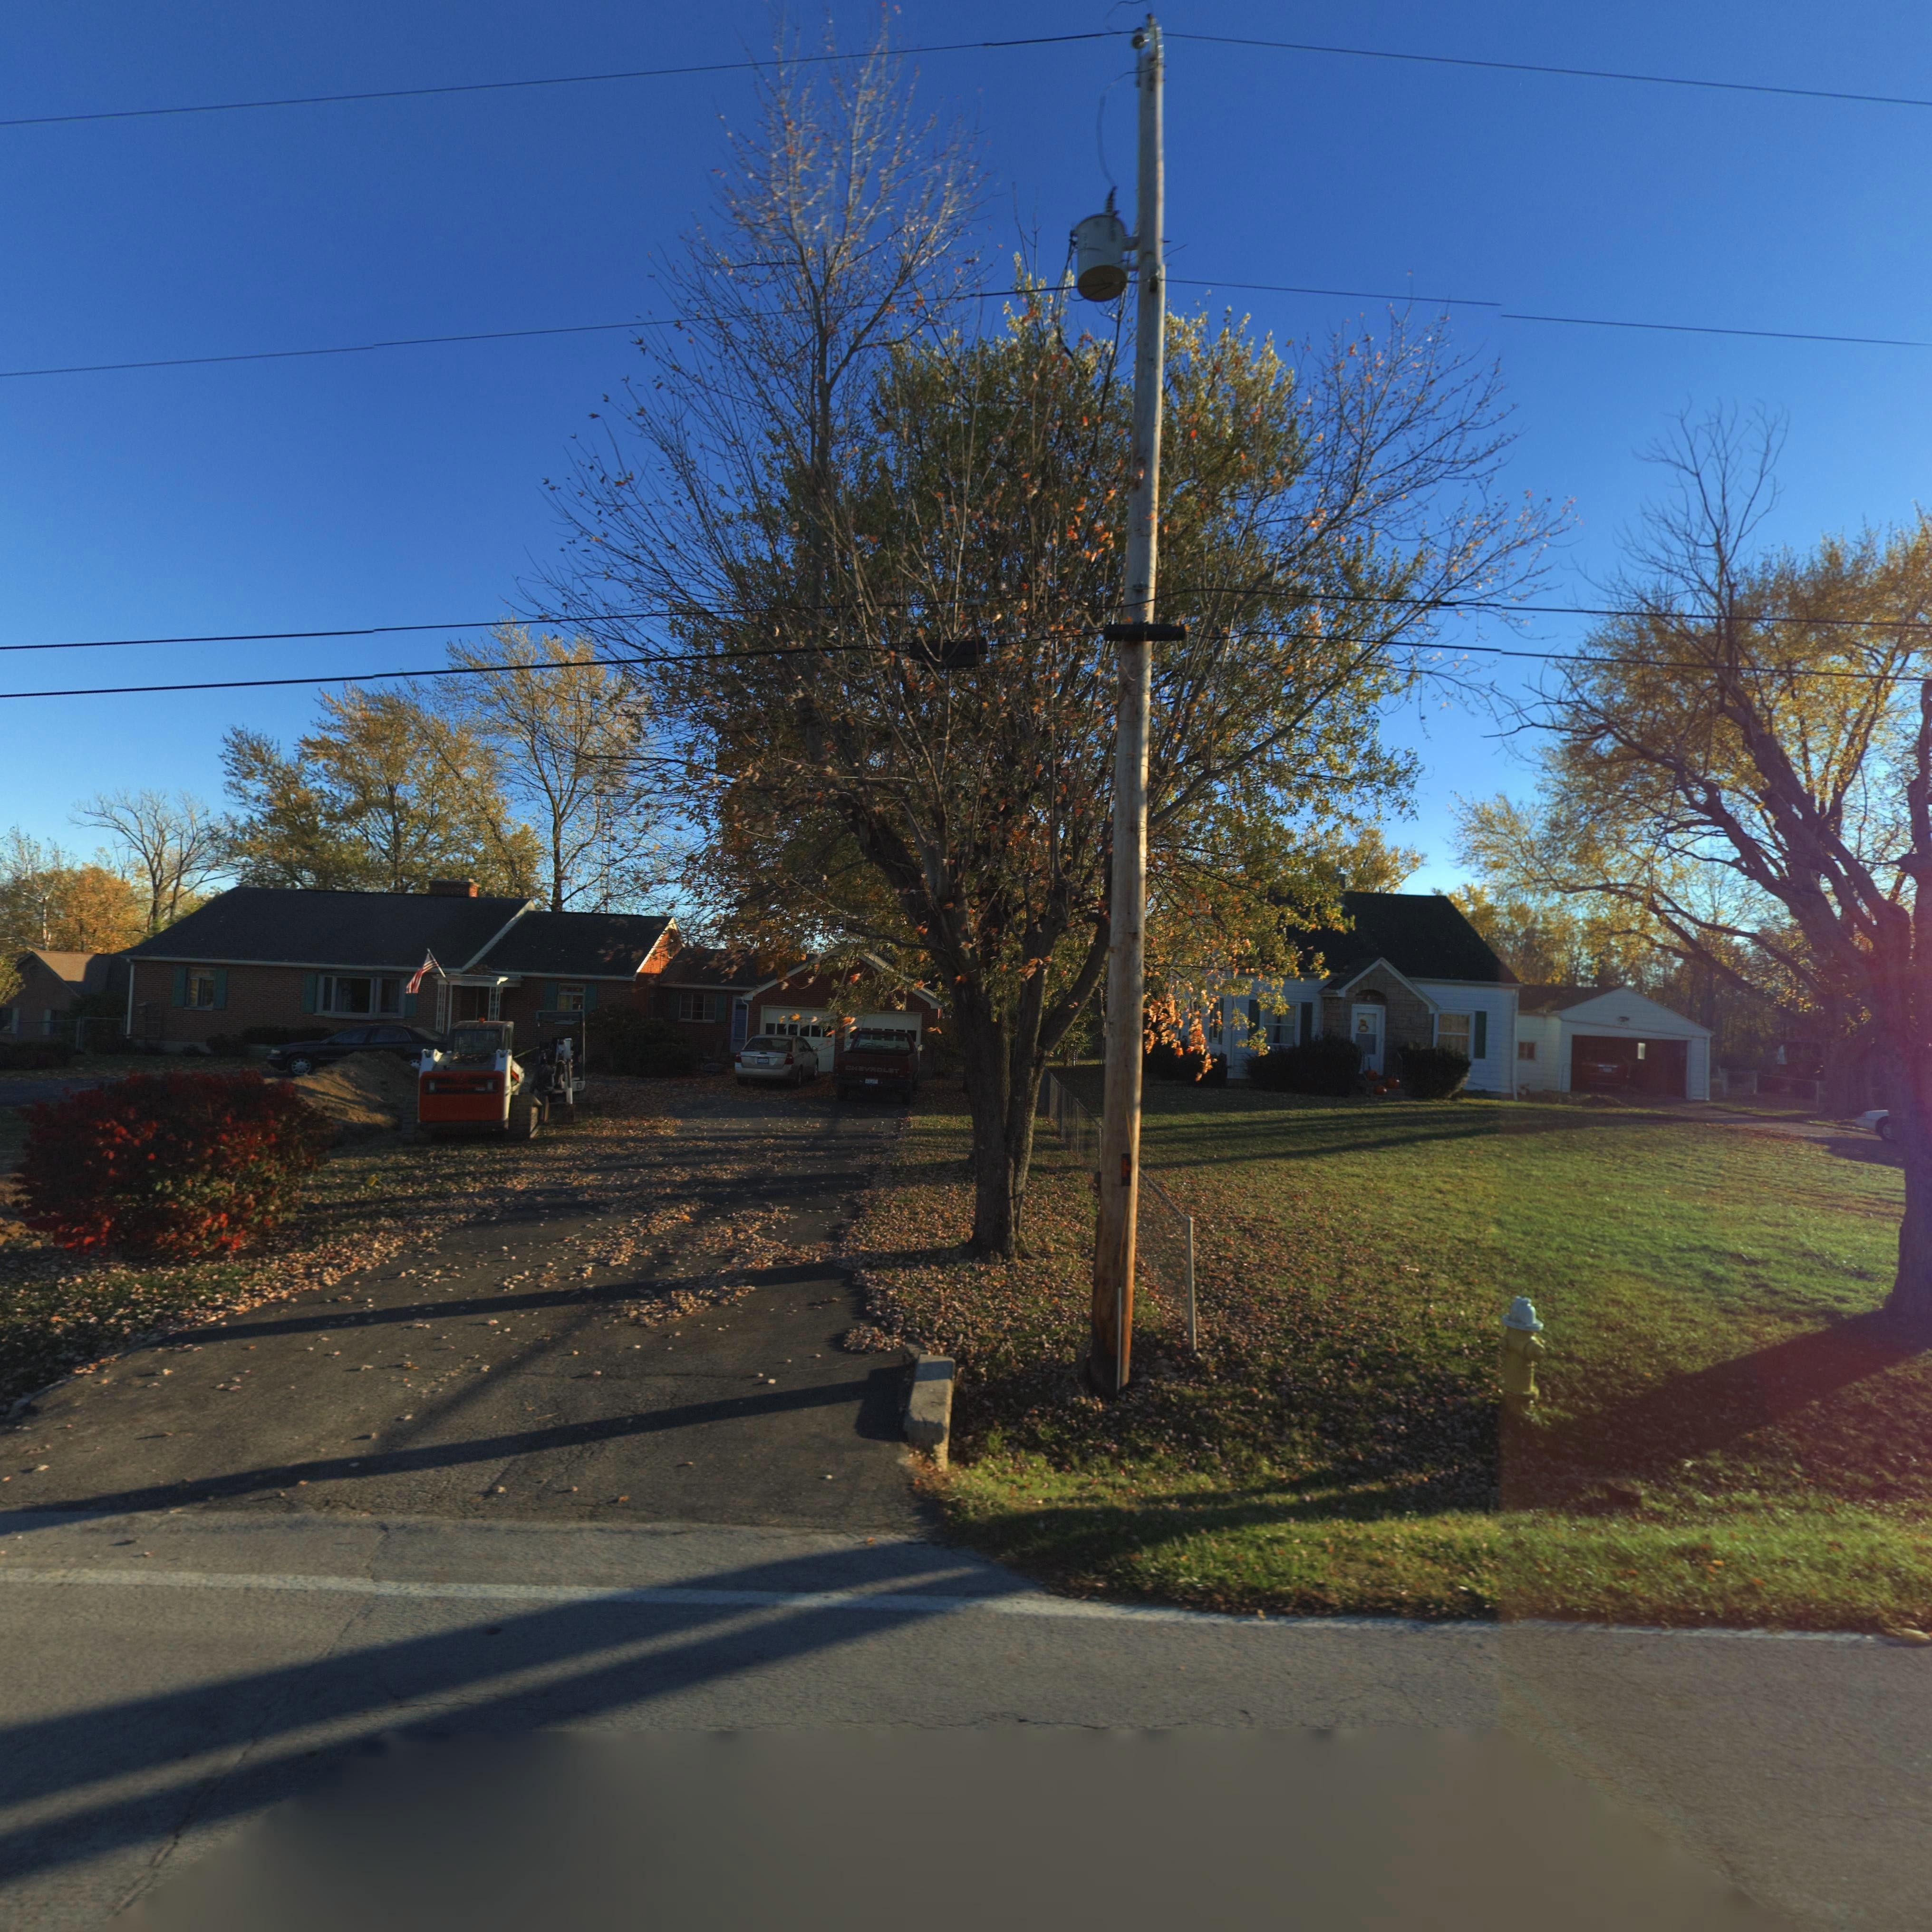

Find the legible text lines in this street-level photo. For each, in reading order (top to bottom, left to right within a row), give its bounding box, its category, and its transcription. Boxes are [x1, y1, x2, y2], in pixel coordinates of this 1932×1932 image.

[463, 981, 473, 985] StreetNumber: 5222